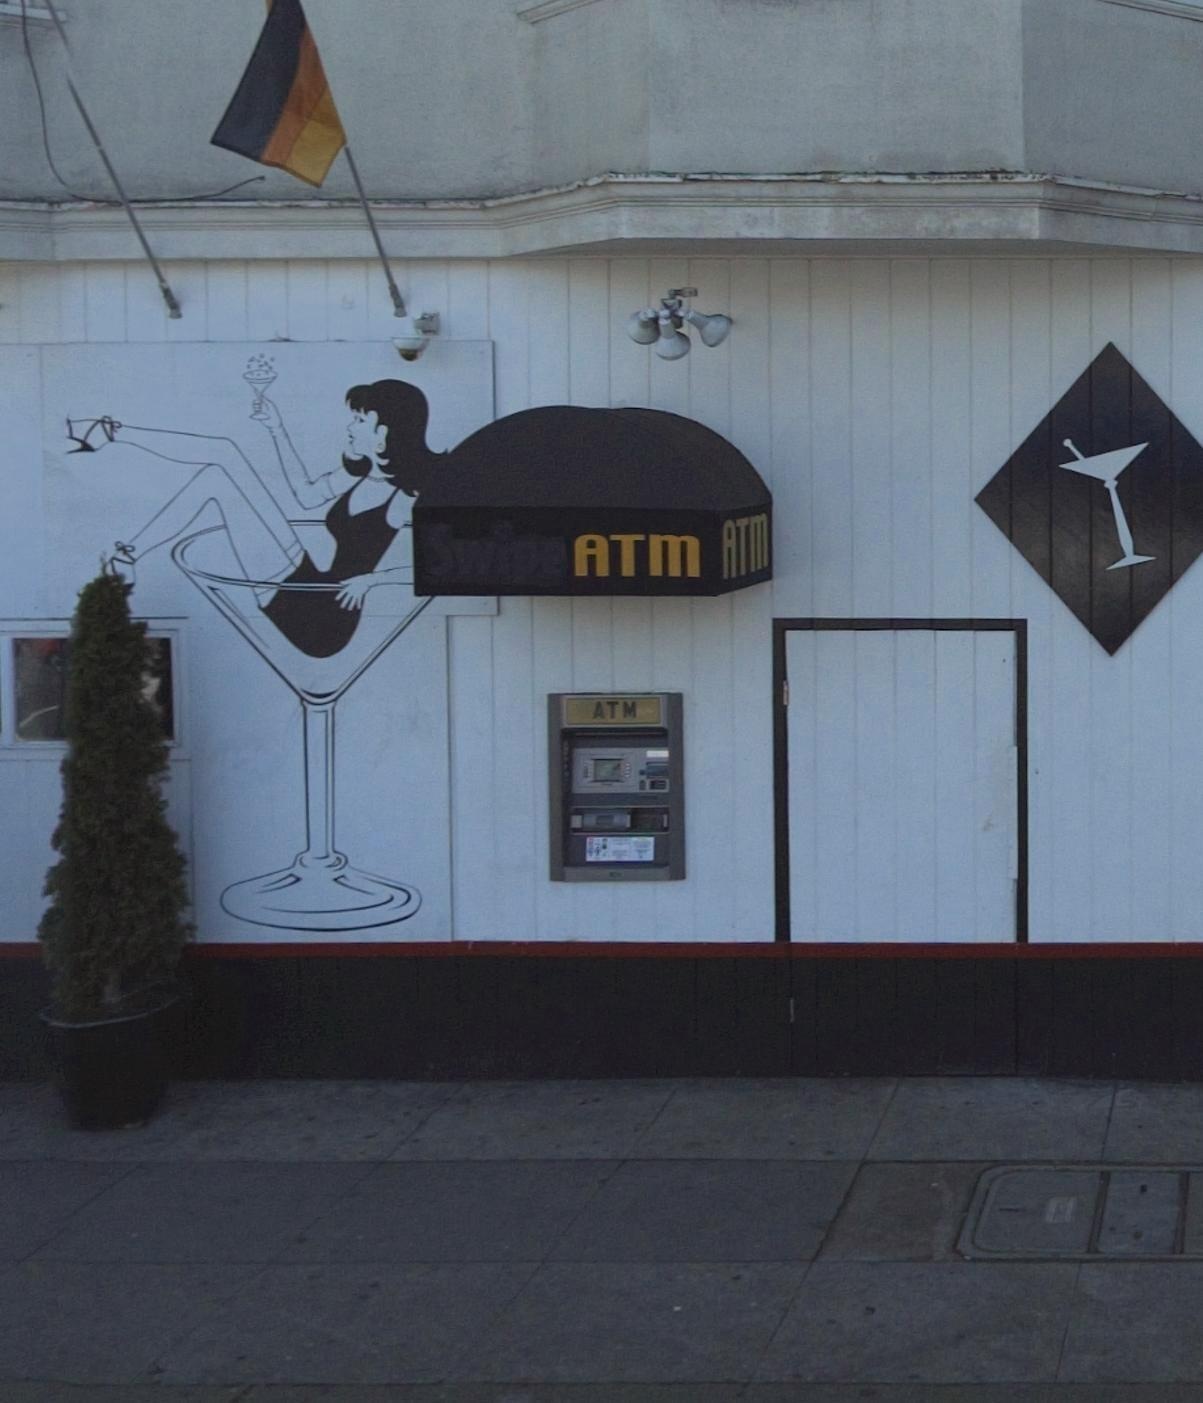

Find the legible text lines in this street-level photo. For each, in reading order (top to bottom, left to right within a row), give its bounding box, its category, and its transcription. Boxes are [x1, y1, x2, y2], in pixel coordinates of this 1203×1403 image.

[419, 519, 703, 590] None: SwipeATM
[719, 508, 771, 584] None: ATm
[589, 698, 639, 721] None: ATM